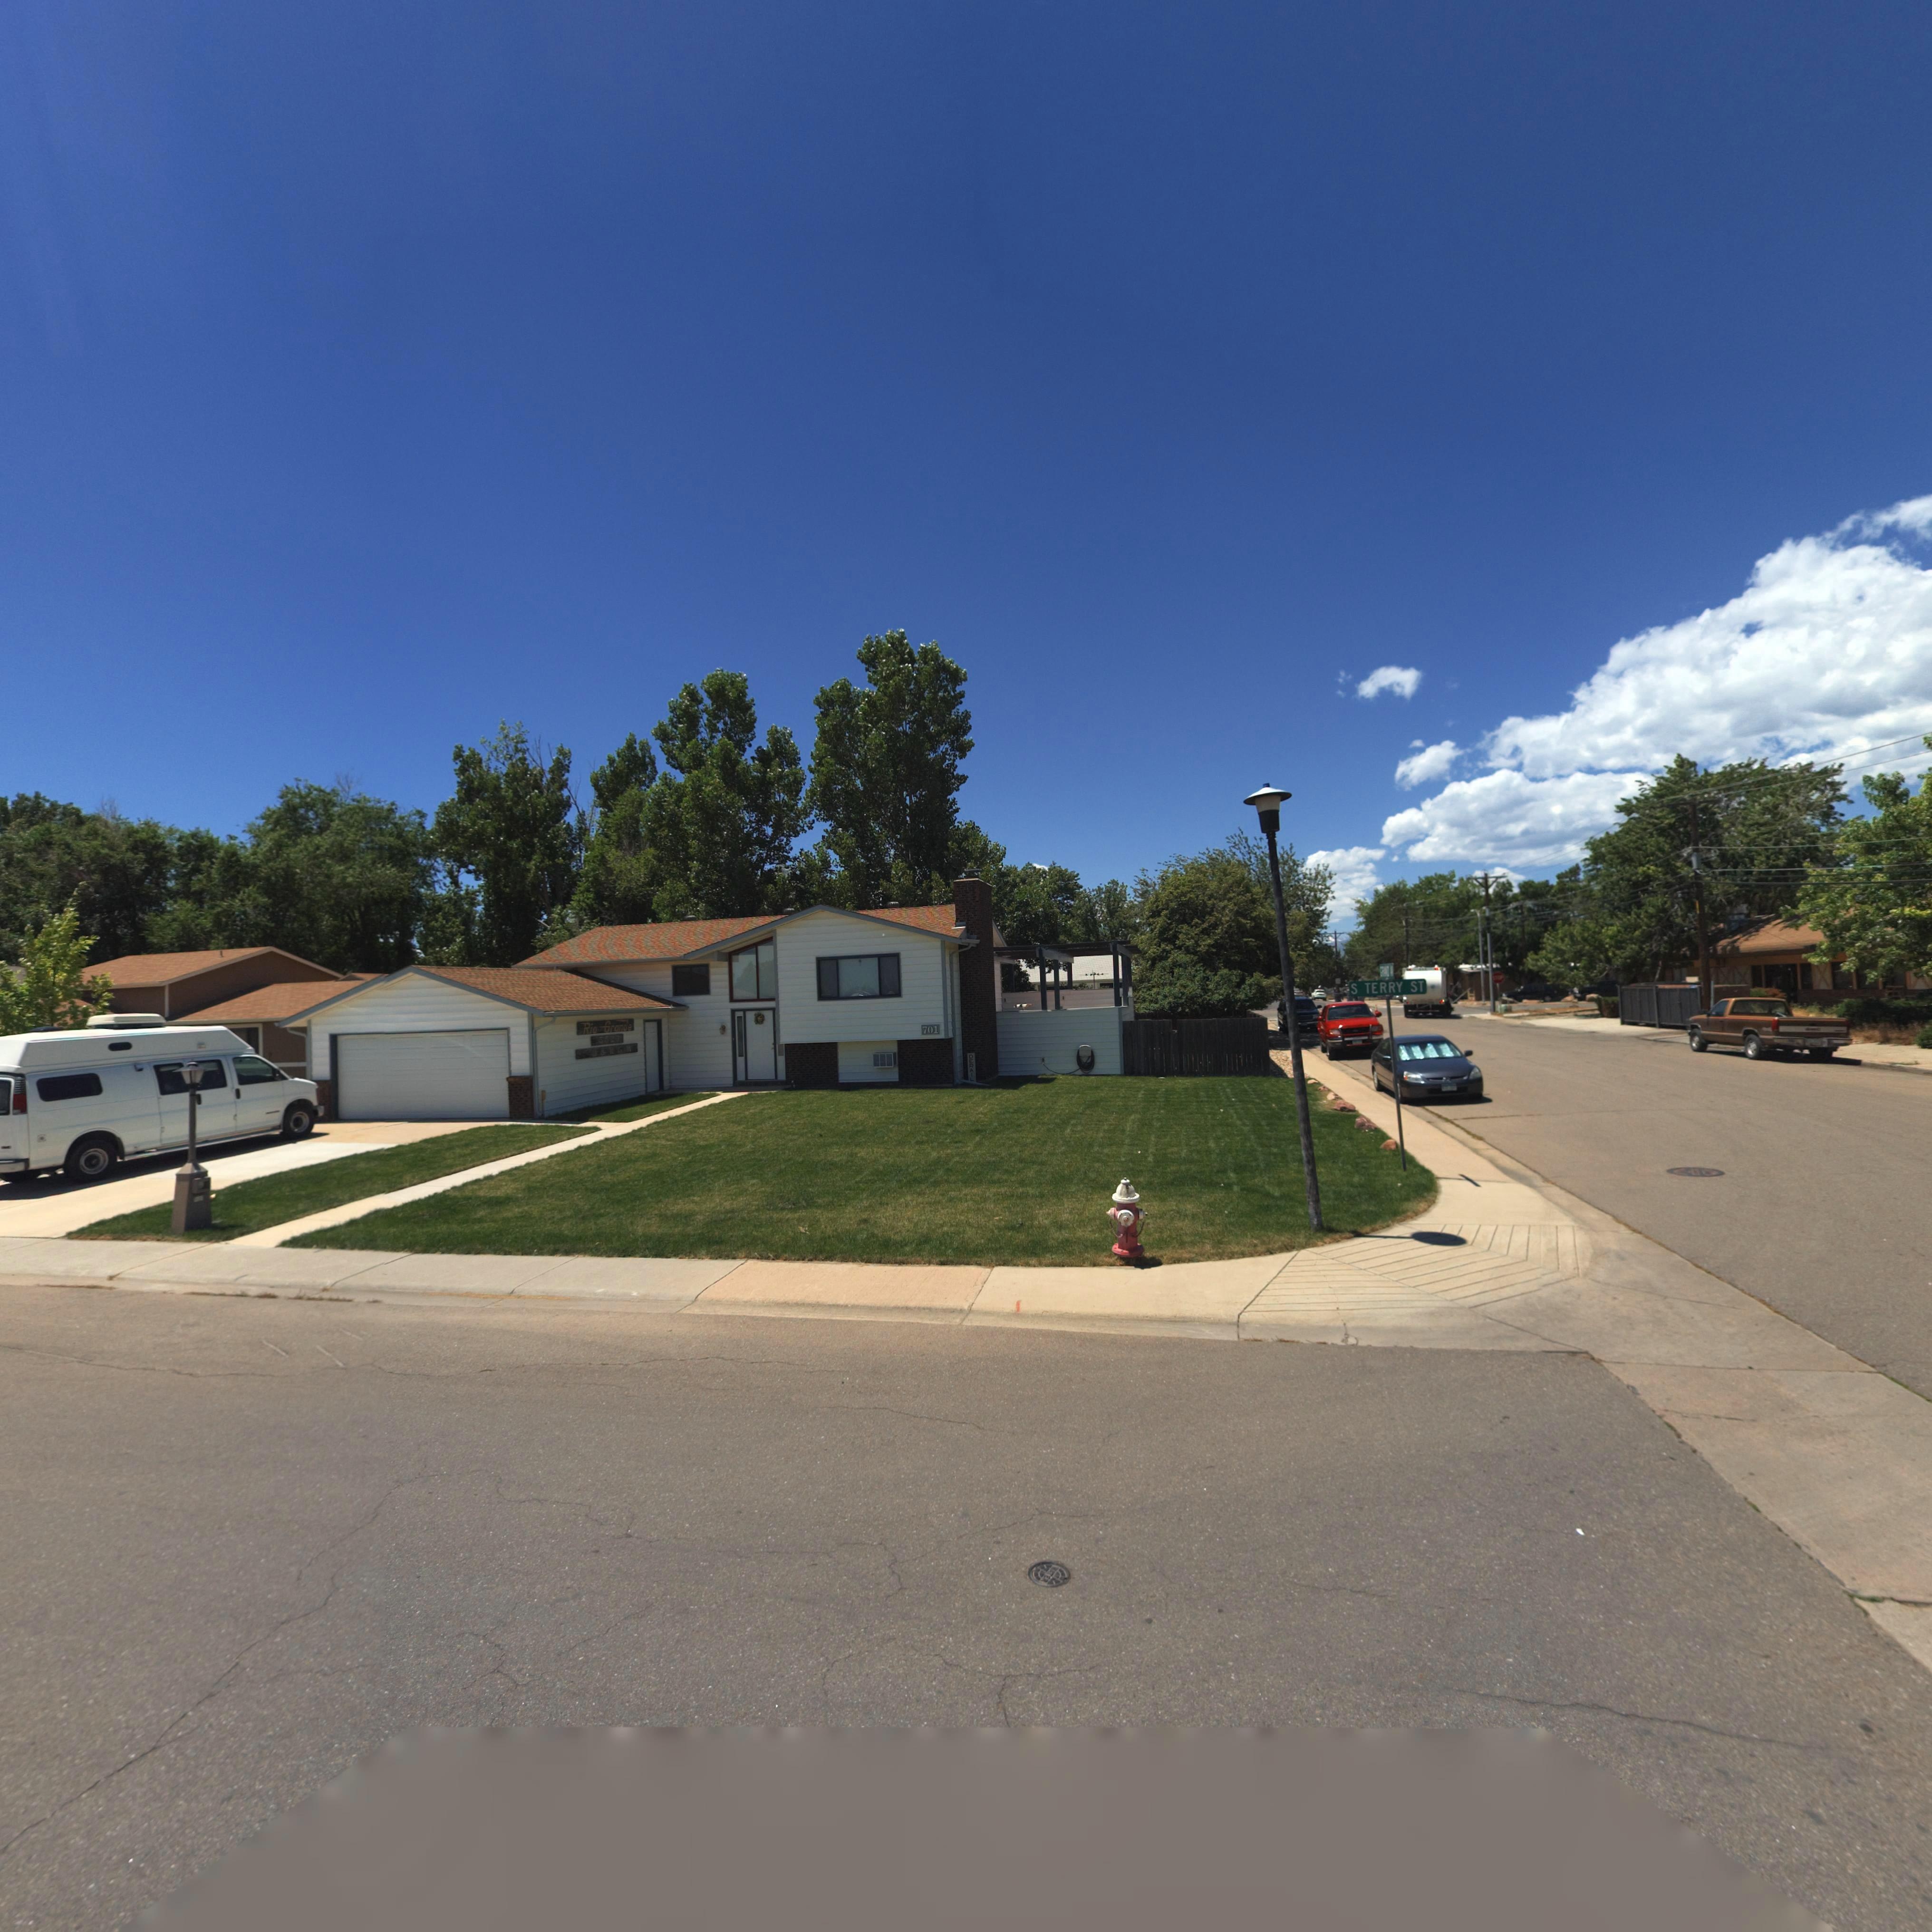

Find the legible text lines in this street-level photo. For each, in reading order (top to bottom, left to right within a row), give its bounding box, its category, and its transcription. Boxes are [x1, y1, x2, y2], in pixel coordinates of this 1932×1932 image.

[1350, 979, 1426, 994] StreetName: S TERRY ST
[921, 1025, 938, 1034] StreetNumber: 701